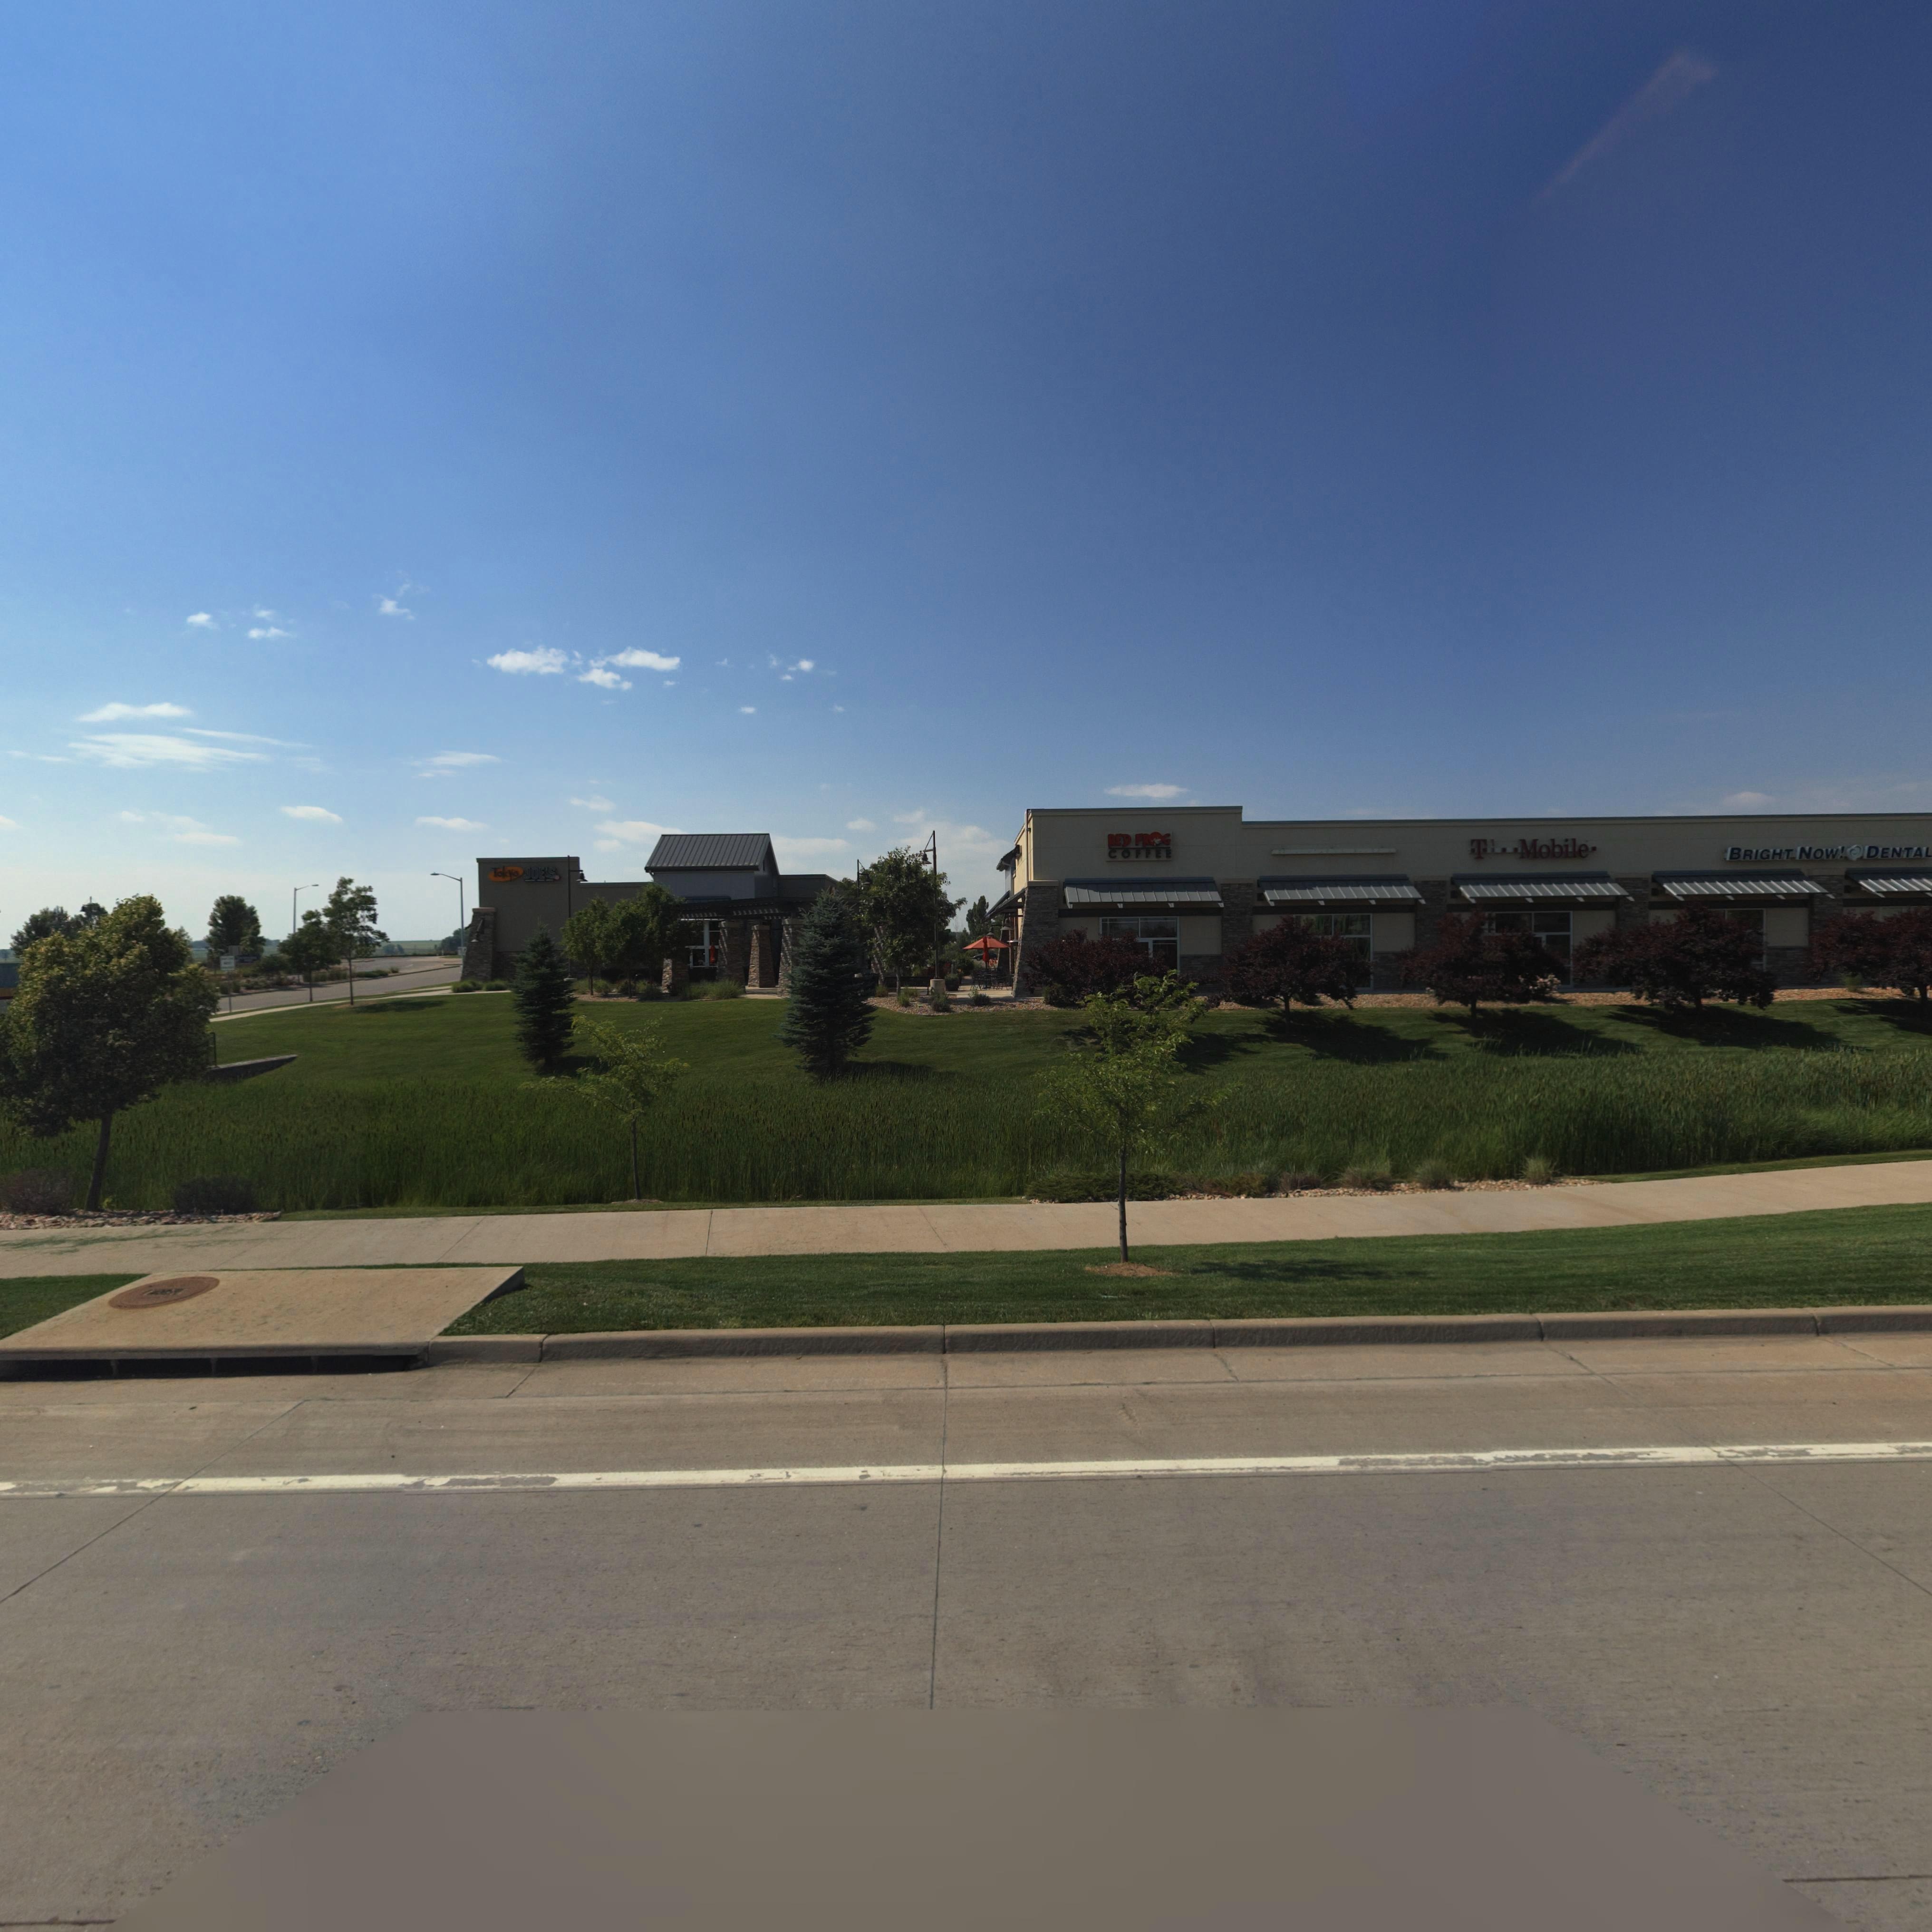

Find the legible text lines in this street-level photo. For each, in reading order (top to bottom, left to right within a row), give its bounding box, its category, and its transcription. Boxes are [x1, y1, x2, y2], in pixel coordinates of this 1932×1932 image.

[1107, 831, 1171, 847] BusinessName: RED FROG
[1108, 848, 1172, 859] BusinessName: COFFEE
[1469, 838, 1590, 860] BusinessName: T Mobile
[1728, 843, 1932, 861] BusinessName: BRIGHT NOW* * DENTAL
[491, 864, 519, 882] BusinessName: Tokyo
[522, 866, 556, 879] BusinessName: JOE'S